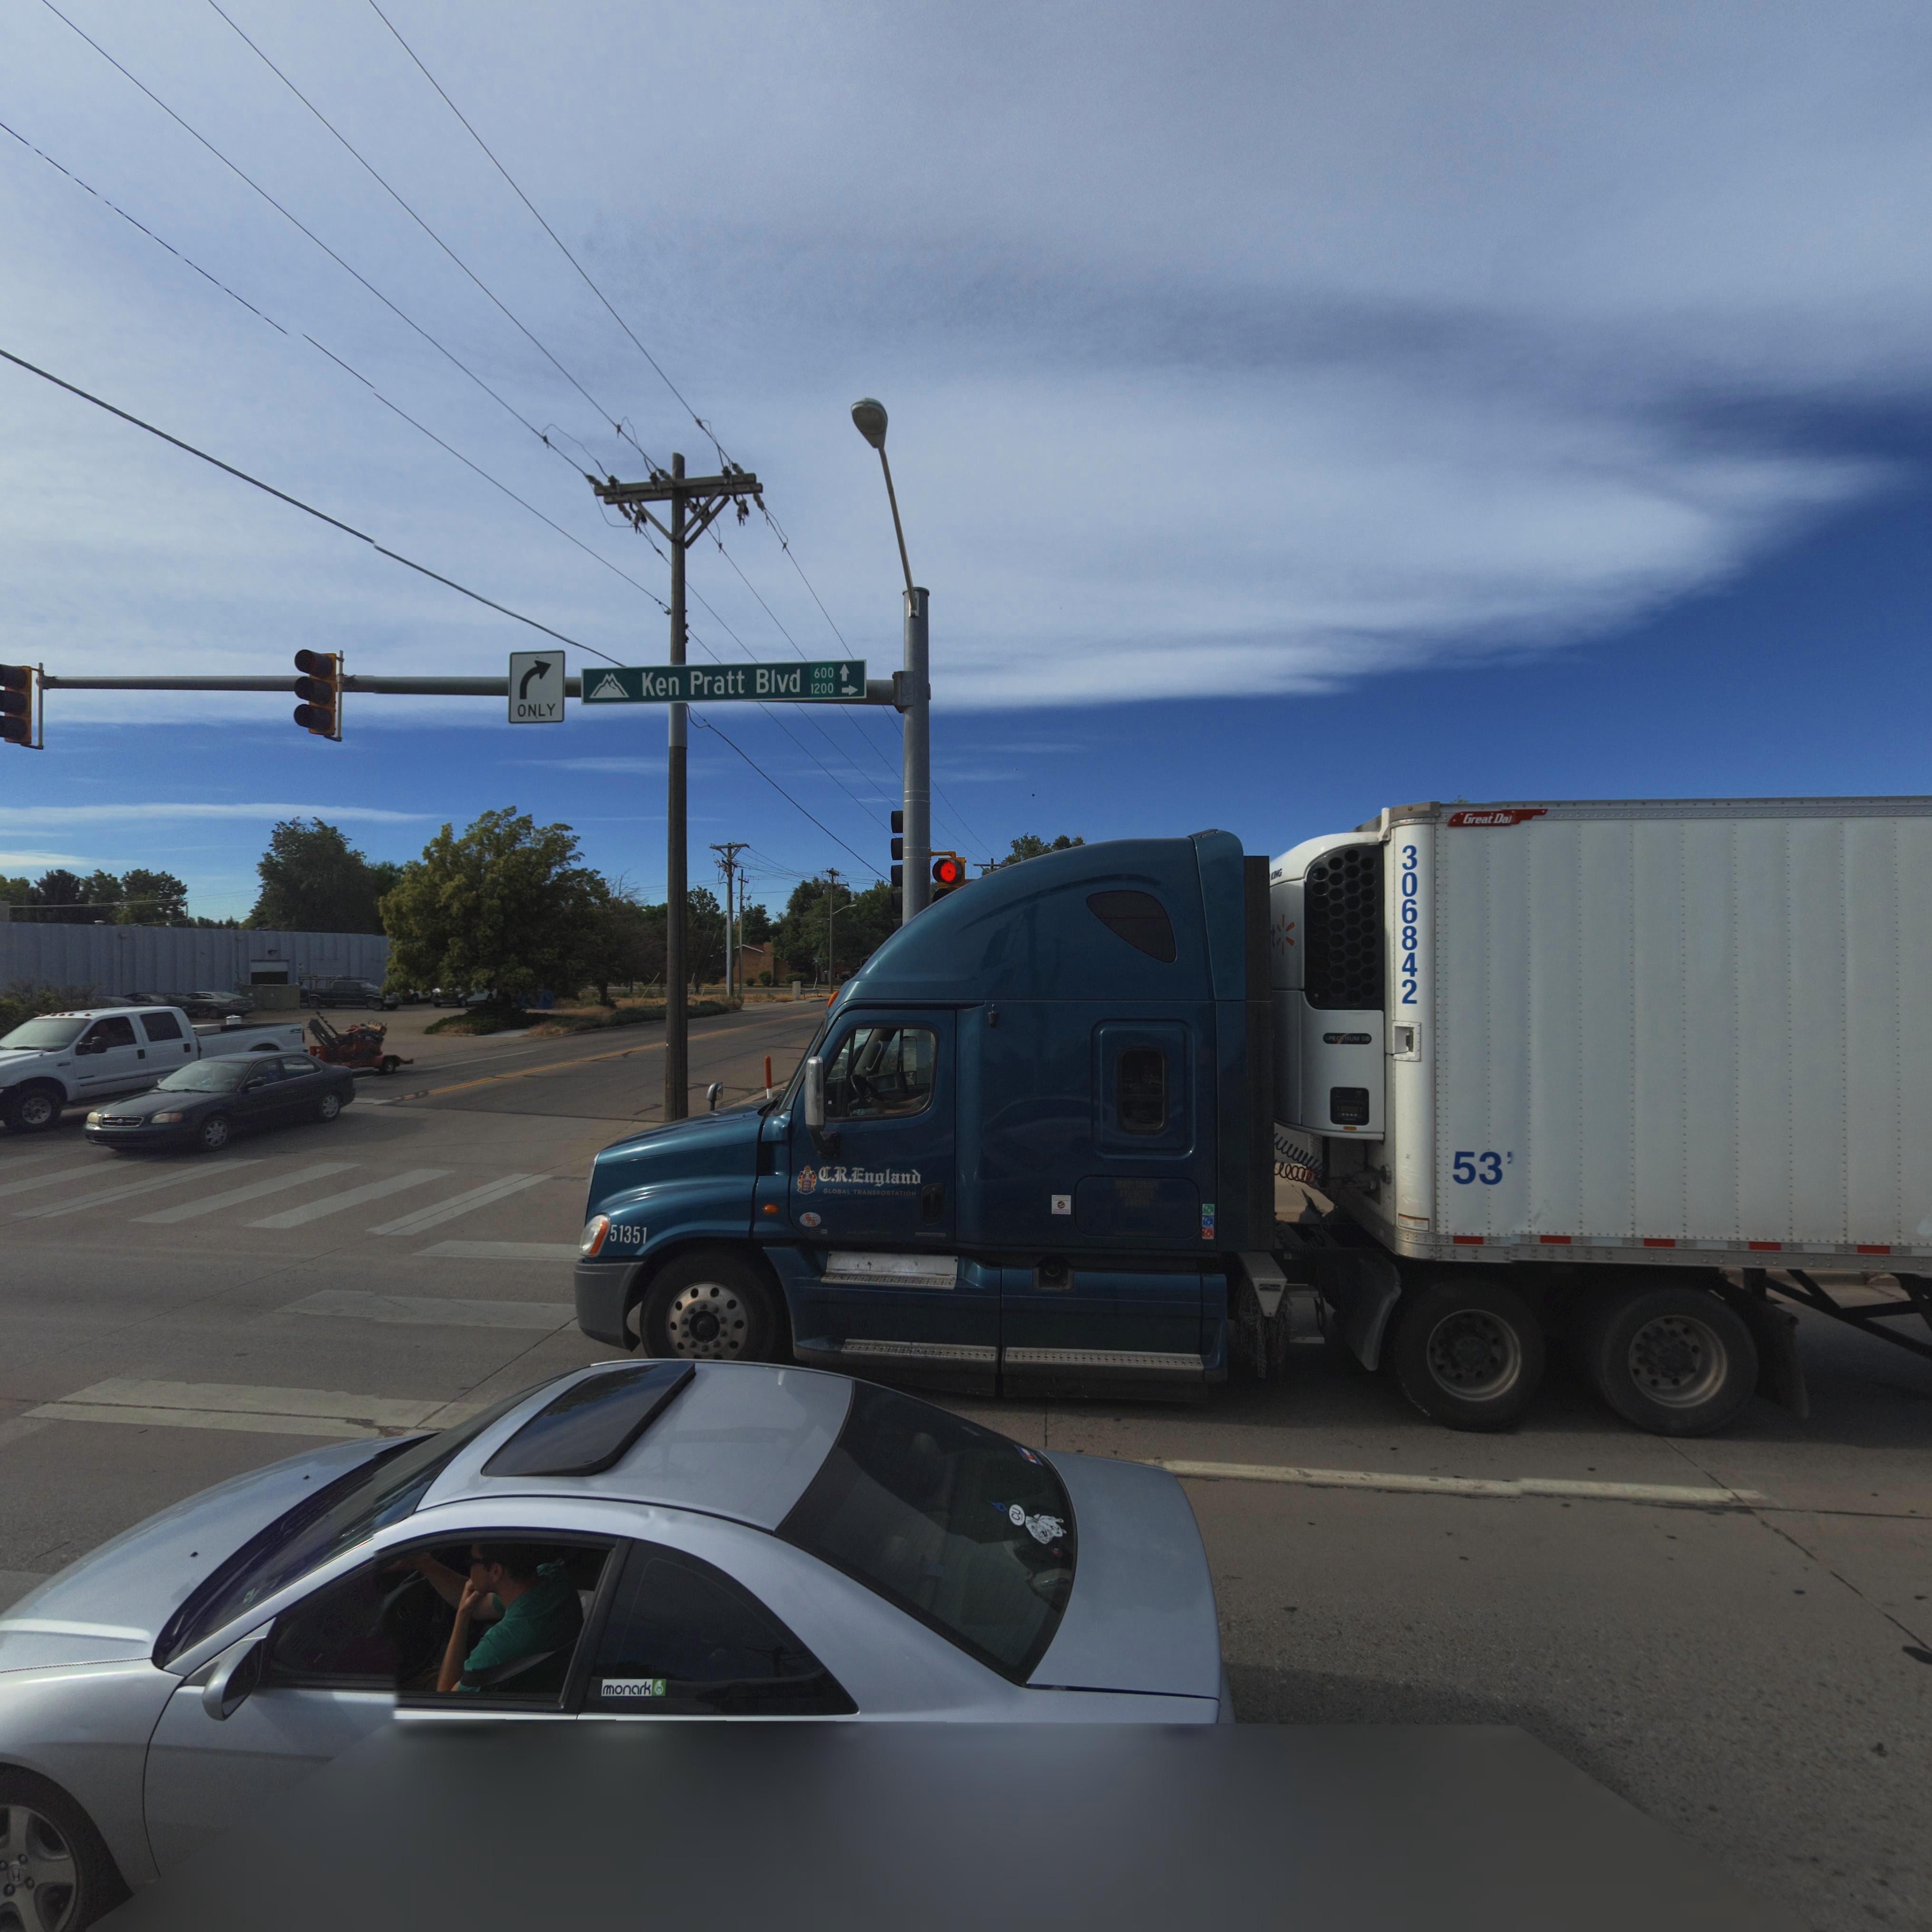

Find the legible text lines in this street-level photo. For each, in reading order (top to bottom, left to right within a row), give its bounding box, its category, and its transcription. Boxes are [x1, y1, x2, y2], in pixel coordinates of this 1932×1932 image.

[813, 667, 834, 679] StreetNumberRange: 600
[639, 667, 802, 697] StreetName: Ken Pratt Blvd
[810, 682, 859, 696] StreetNumberRange: 1200->